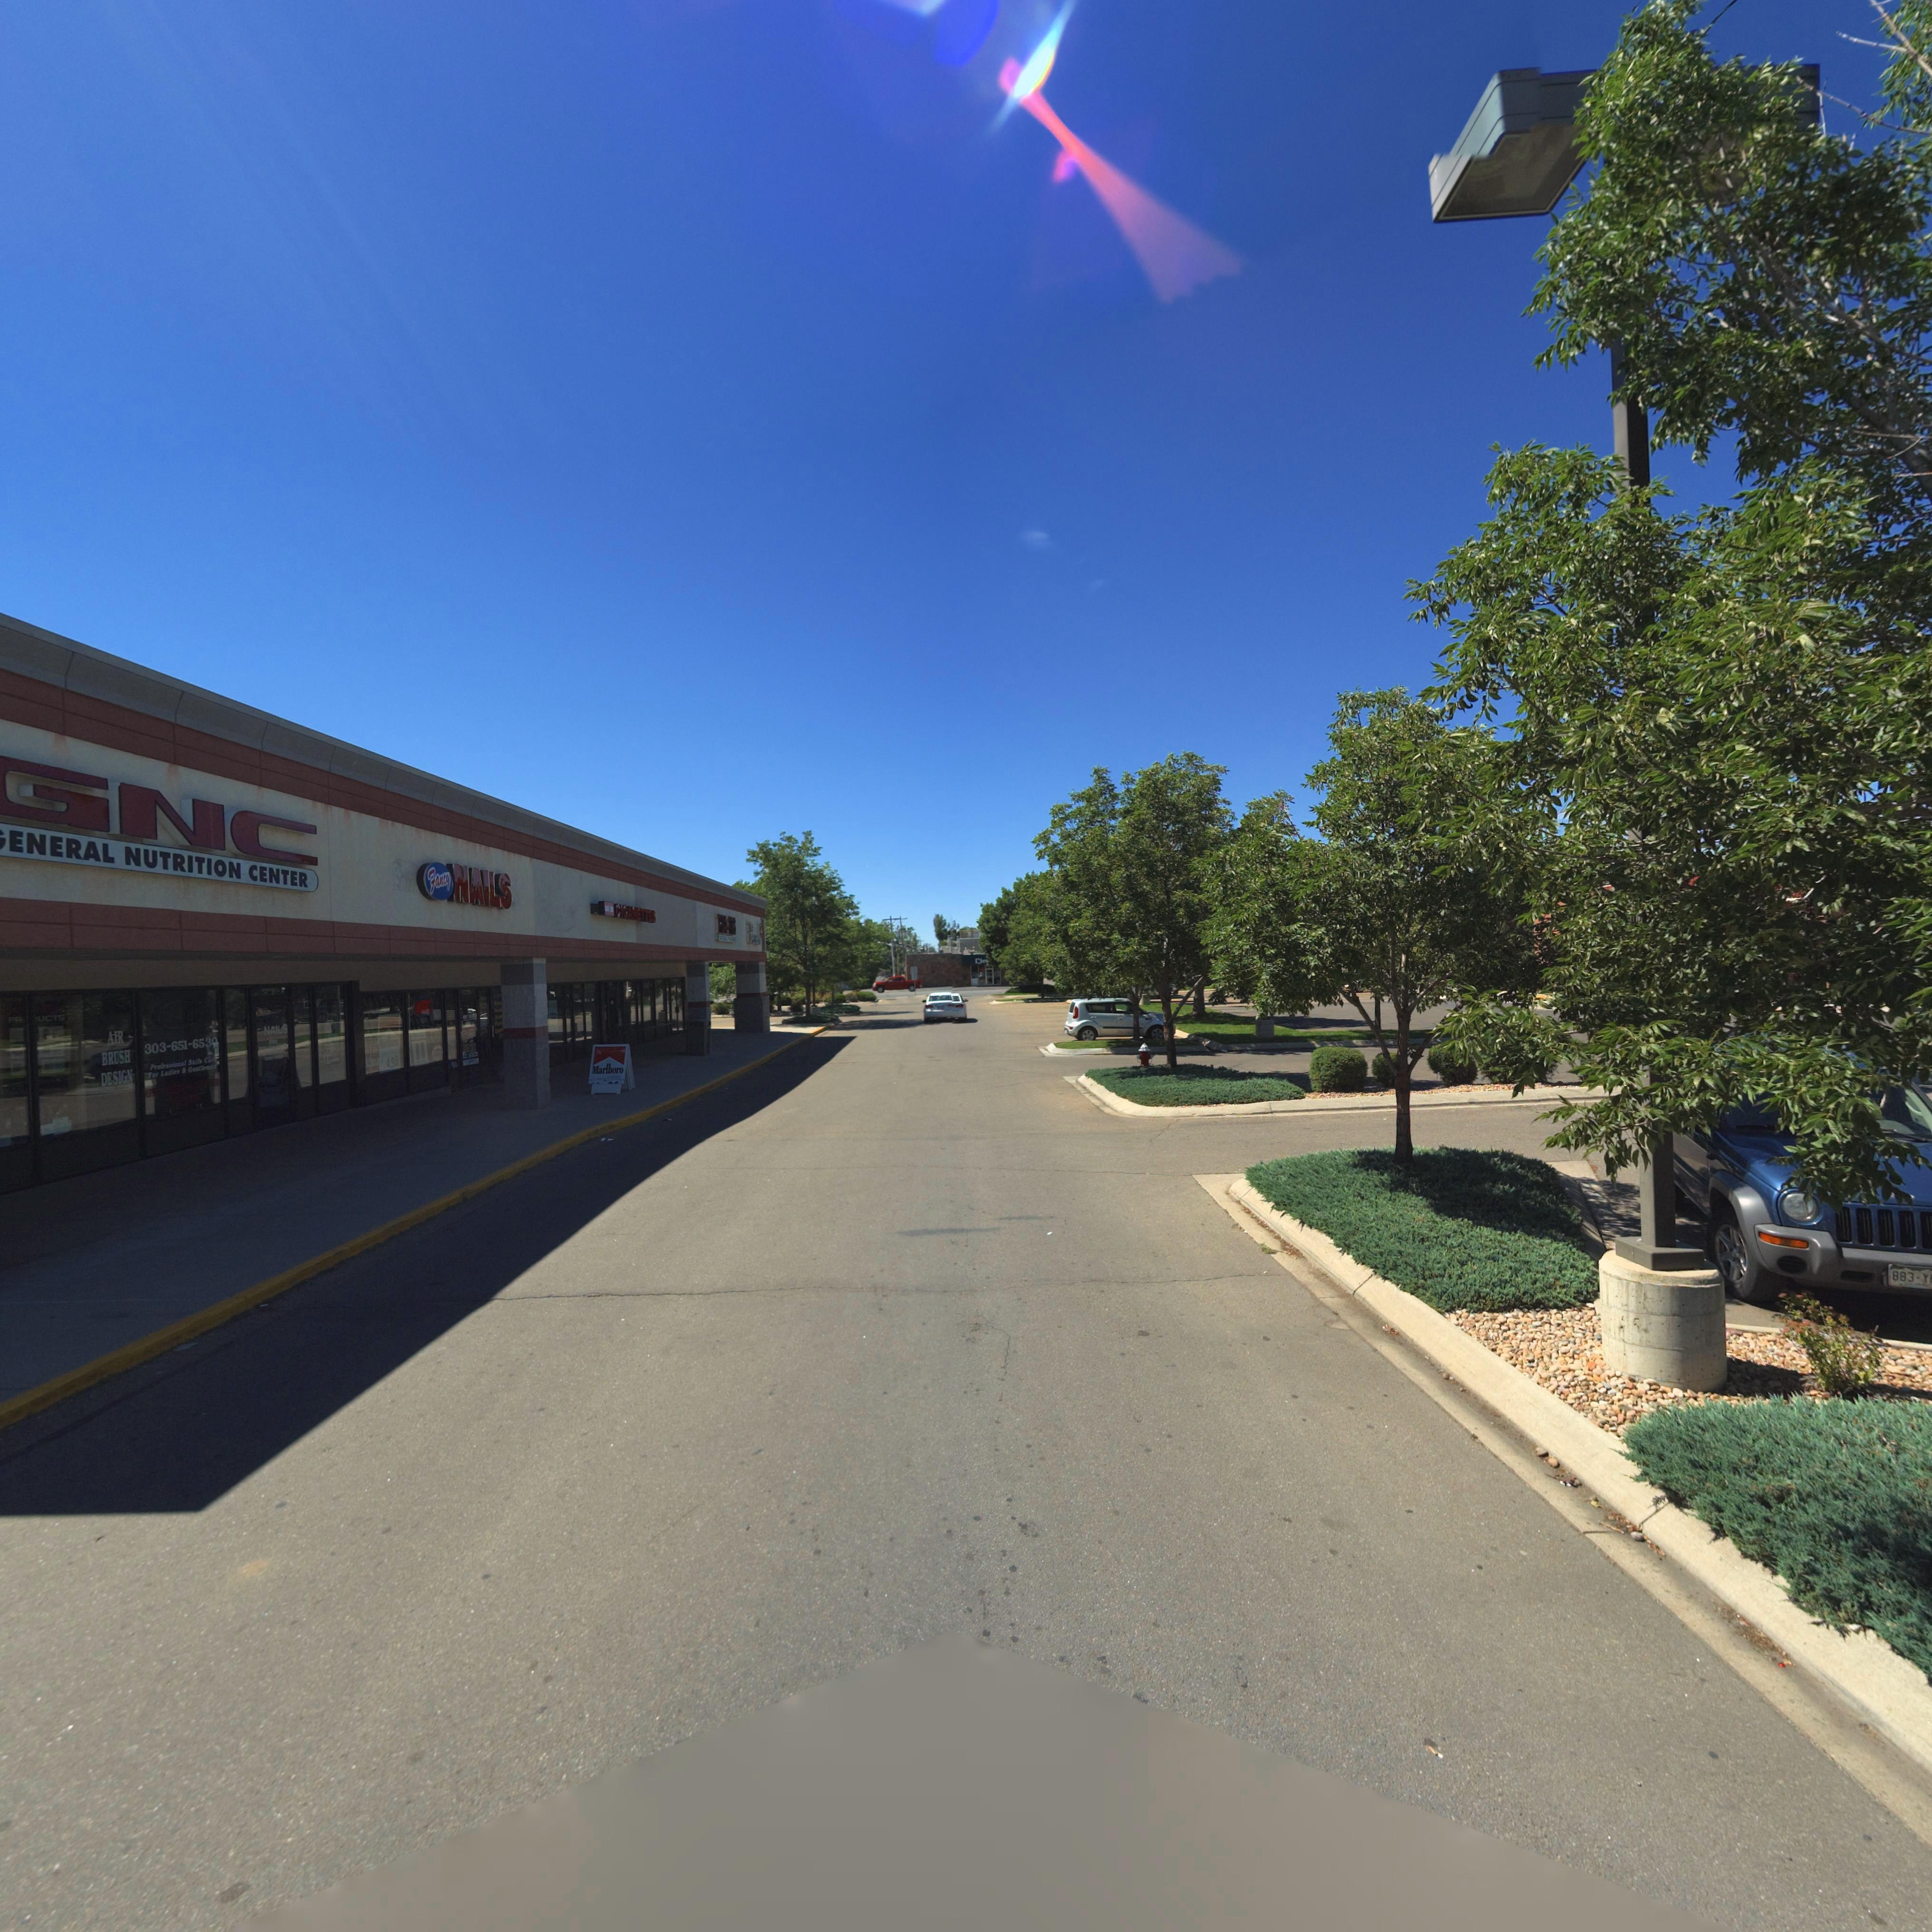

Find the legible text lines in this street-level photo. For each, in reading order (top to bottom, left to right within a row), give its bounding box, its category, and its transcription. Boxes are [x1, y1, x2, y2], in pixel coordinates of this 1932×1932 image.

[0, 755, 319, 868] BusinessName: GNC
[9, 829, 308, 888] BusinessName: ENERAL NUTRITION CENTER
[427, 868, 451, 894] BusinessName: Fancy
[454, 862, 512, 909] BusinessName: NAILS
[975, 957, 986, 965] BusinessName: Cle
[260, 990, 273, 996] StreetNumber: *7** *